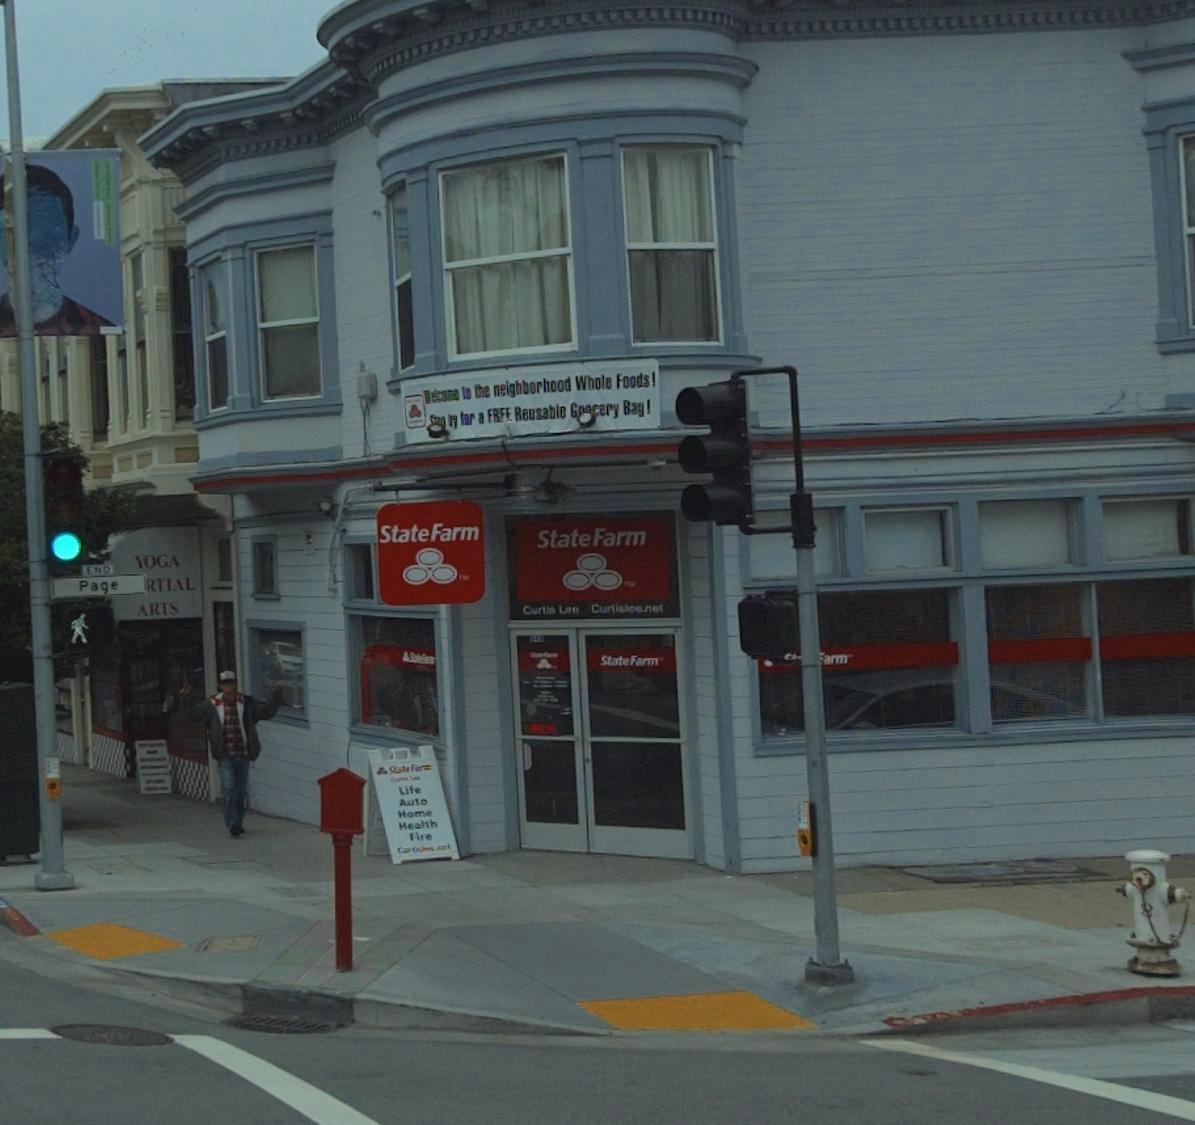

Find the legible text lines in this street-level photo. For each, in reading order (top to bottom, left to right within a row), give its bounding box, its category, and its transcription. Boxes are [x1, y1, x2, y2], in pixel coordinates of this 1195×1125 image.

[420, 369, 657, 406] None: Welcome to the neighborhood Whole Foods!
[446, 397, 654, 432] None: by for a FREE Reusable Grocery Bag!
[379, 522, 480, 544] BusinessName: State Farm
[536, 526, 647, 550] BusinessName: State Farm
[134, 553, 182, 570] None: YOGA
[86, 565, 110, 575] StreetNumberRange: END
[78, 579, 119, 595] StreetName: Page
[146, 577, 197, 594] None: RTIAL
[136, 600, 180, 617] None: ARTS
[521, 604, 579, 616] None: Curtis Lee
[590, 602, 665, 615] None: Curti**ee.net
[599, 654, 660, 667] BusinessName: State Farm
[823, 653, 849, 666] BusinessName: arm
[397, 784, 423, 796] None: Life
[398, 796, 429, 808] None: Auto
[397, 808, 434, 819] None: Home
[398, 817, 439, 832] None: Health
[409, 831, 433, 841] None: Fire